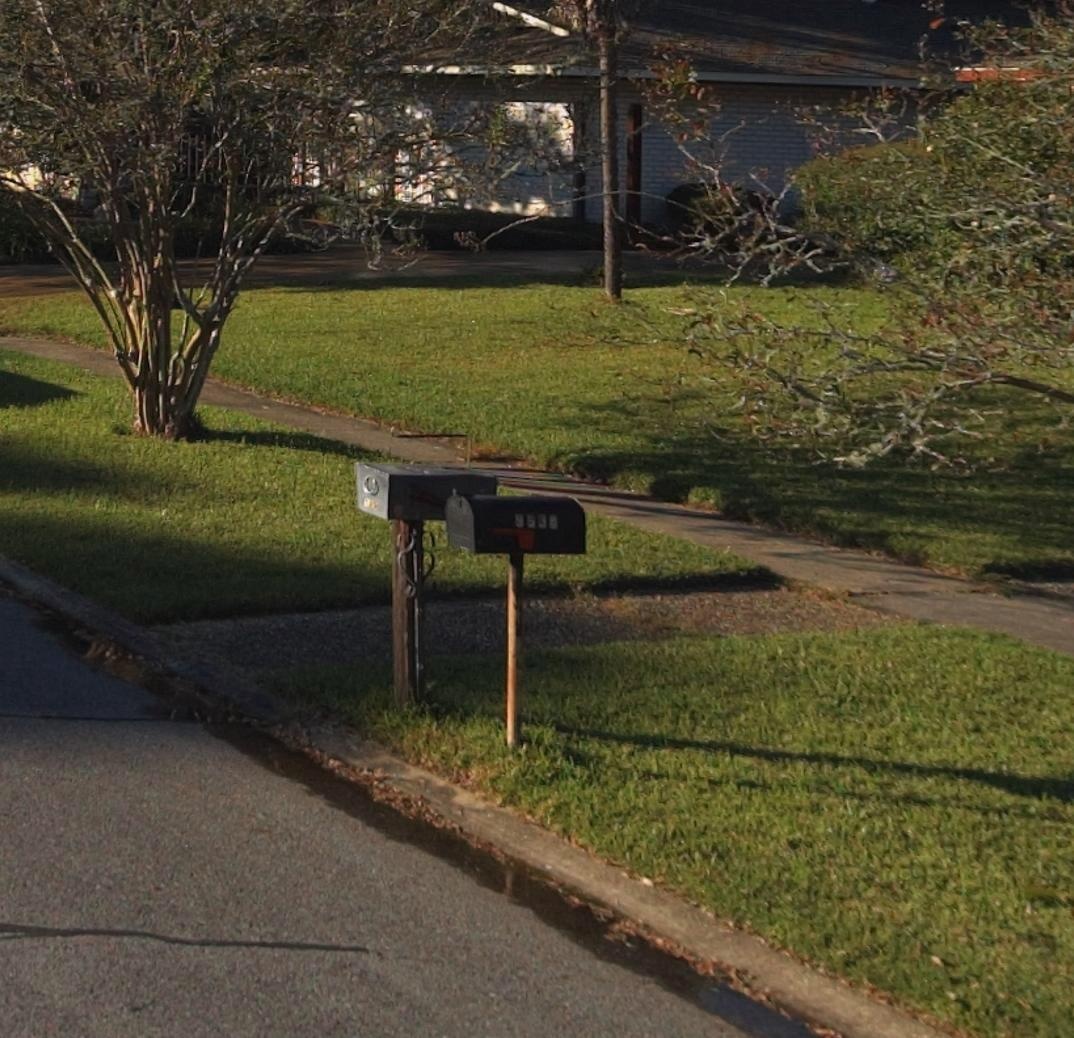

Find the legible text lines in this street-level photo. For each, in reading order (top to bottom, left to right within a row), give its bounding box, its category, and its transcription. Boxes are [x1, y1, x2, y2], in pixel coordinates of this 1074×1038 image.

[514, 512, 559, 530] StreetNumber: 9538